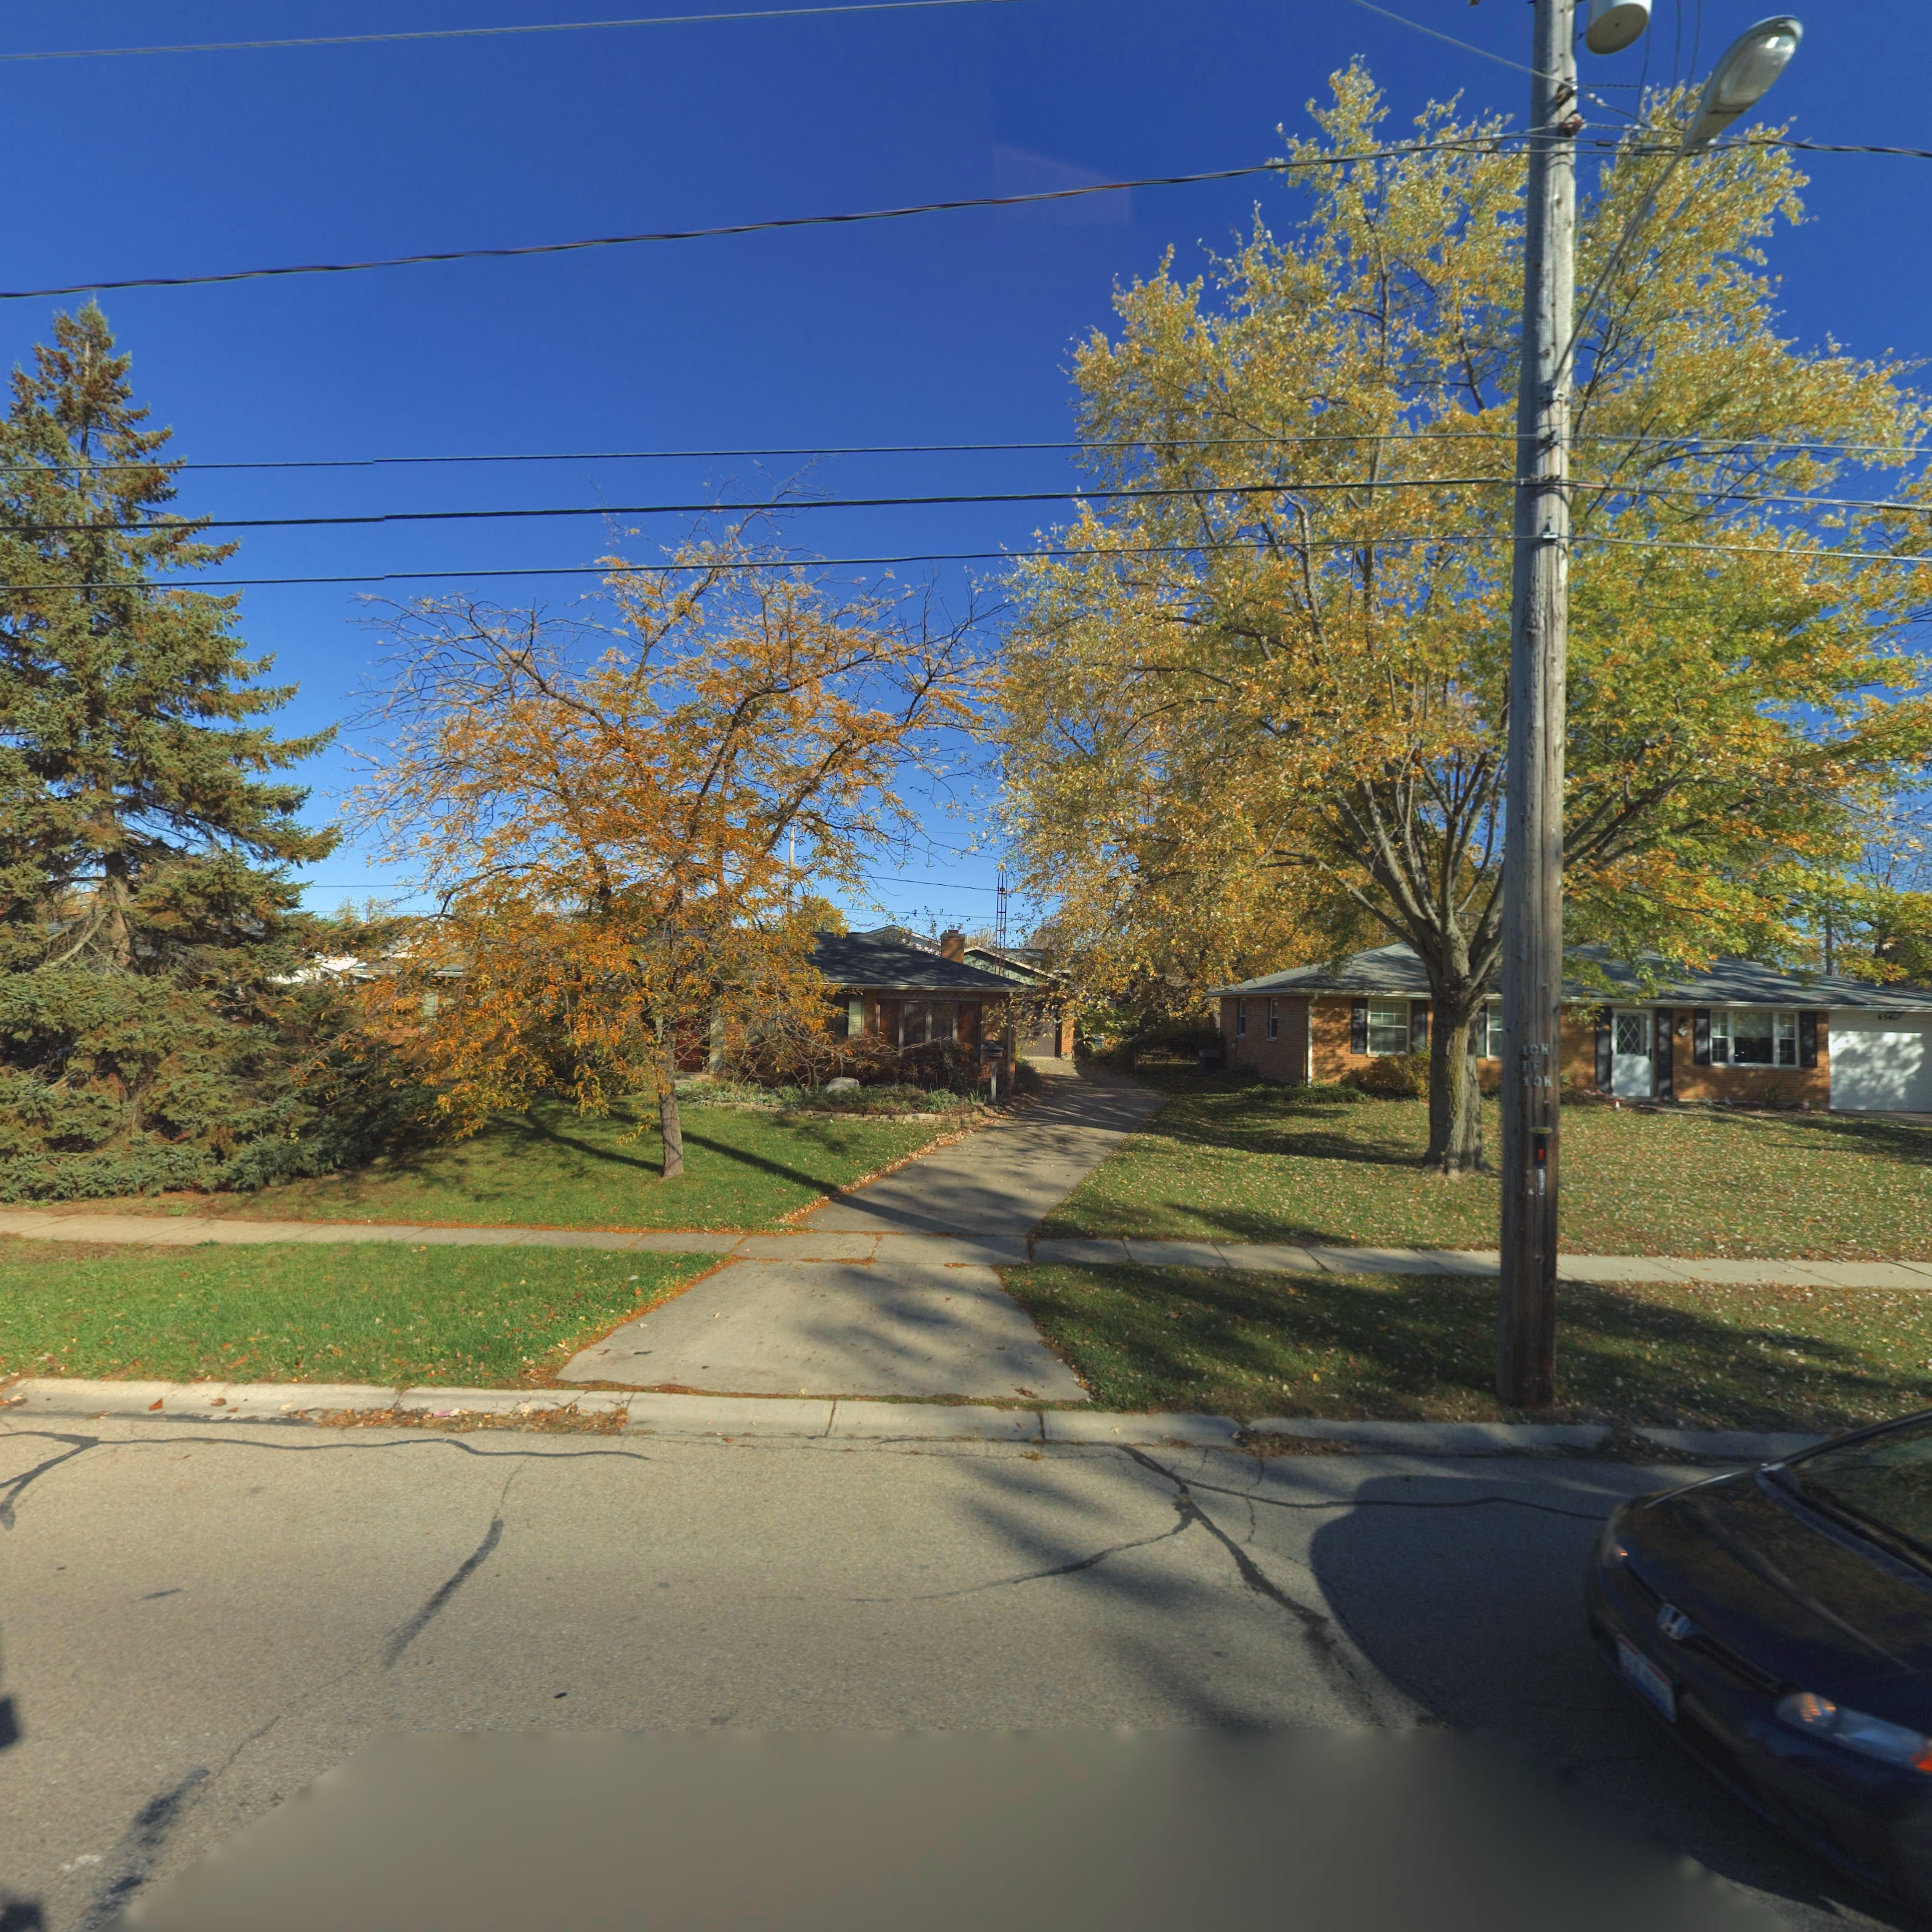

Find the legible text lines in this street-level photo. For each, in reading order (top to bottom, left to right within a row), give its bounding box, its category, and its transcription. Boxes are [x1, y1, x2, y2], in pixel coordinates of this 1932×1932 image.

[1877, 1013, 1897, 1022] StreetNumber: 6***